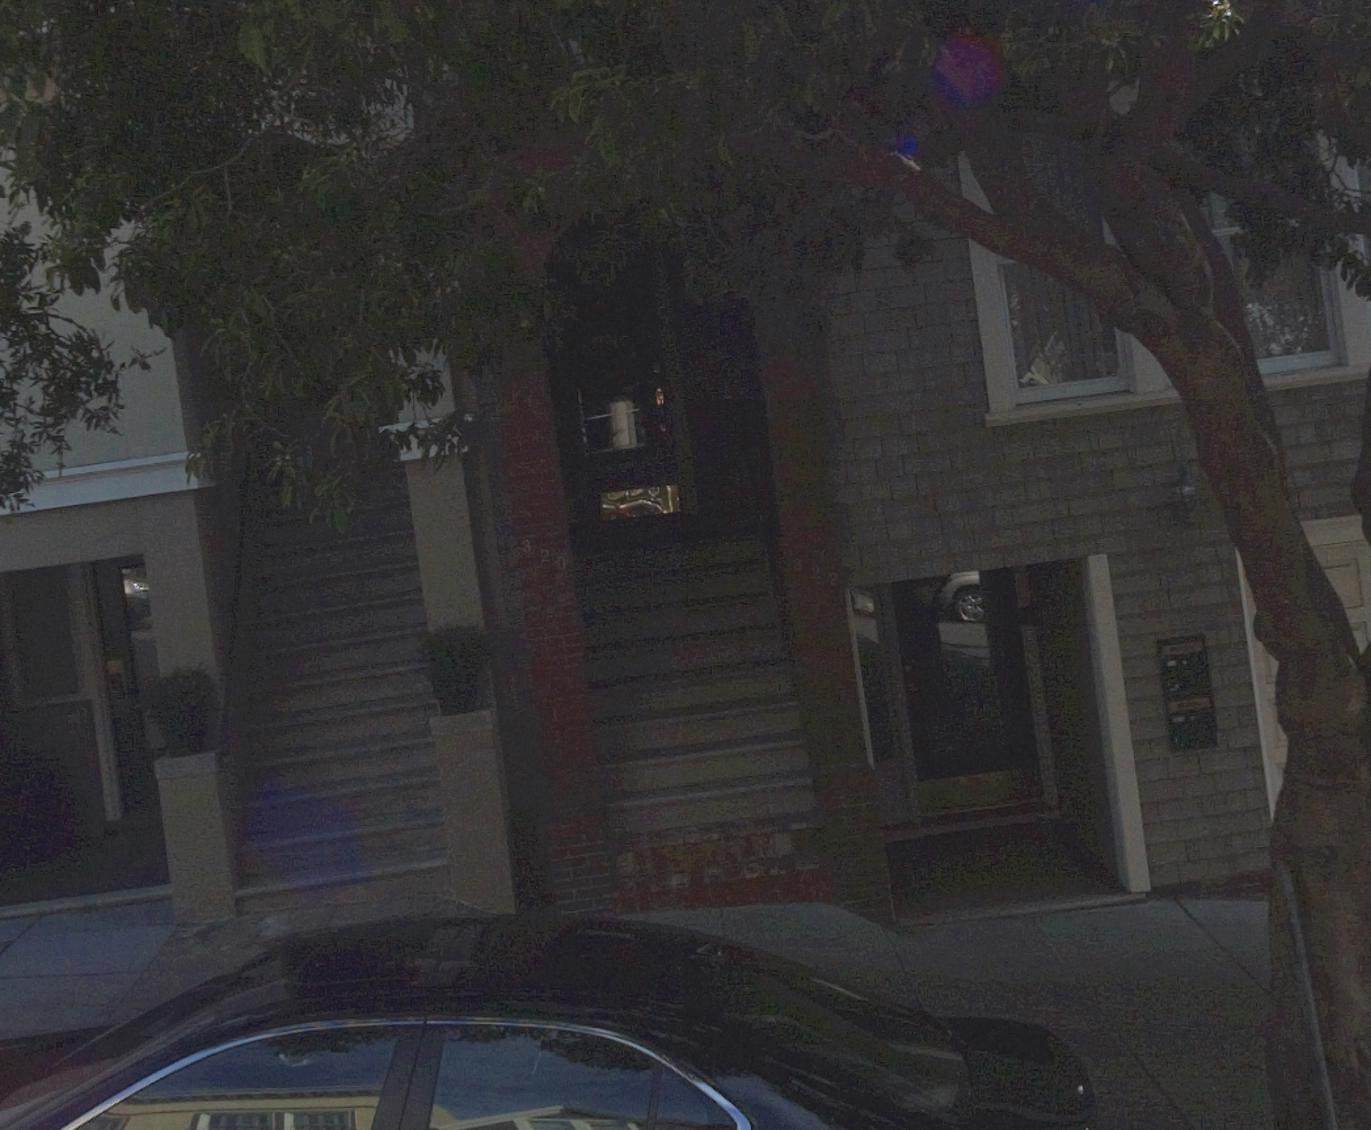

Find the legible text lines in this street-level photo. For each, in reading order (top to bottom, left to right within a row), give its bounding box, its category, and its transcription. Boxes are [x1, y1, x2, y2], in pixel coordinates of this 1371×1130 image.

[520, 537, 569, 572] StreetNumber: 320
[790, 555, 841, 588] StreetNumber: 322